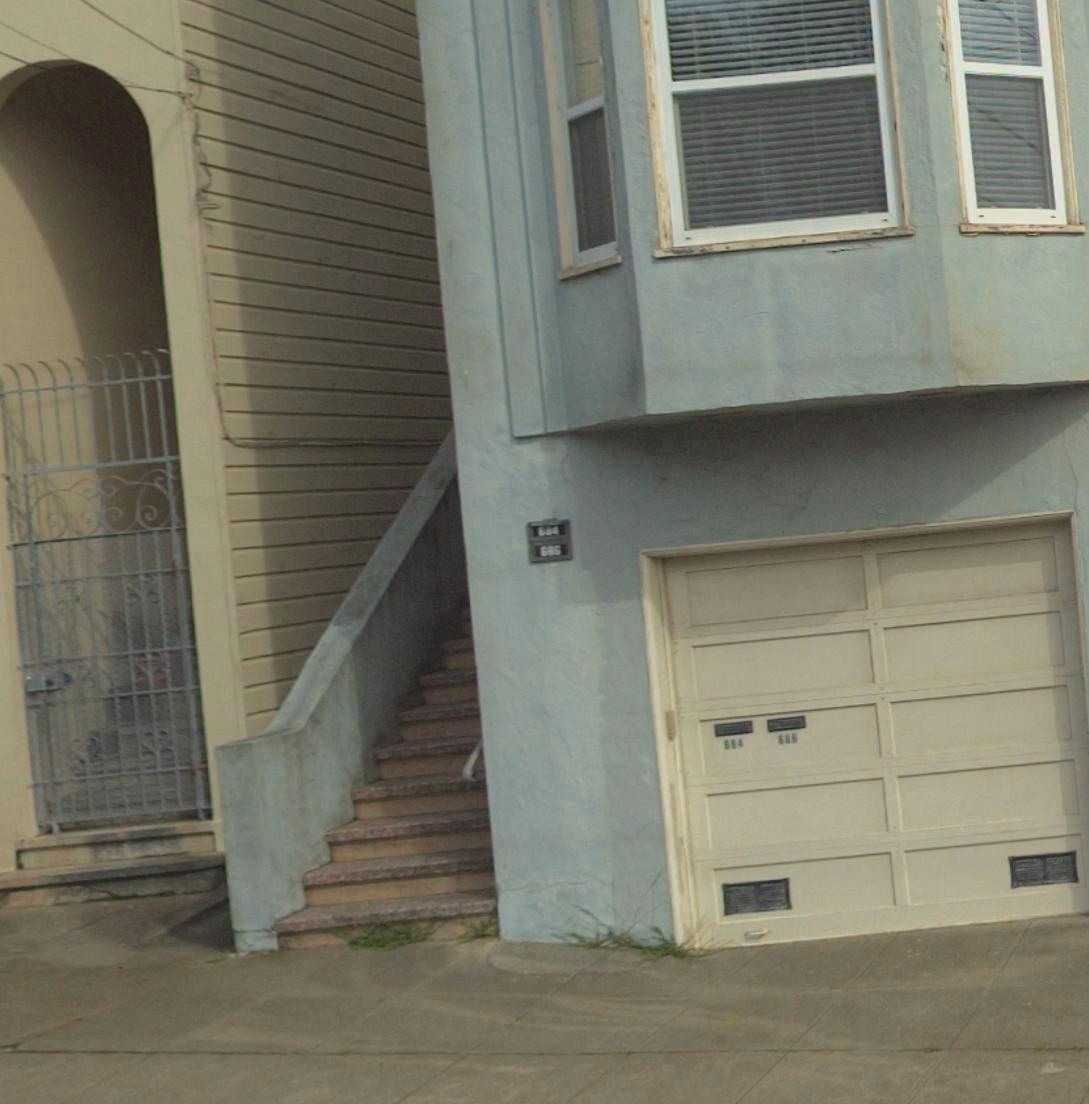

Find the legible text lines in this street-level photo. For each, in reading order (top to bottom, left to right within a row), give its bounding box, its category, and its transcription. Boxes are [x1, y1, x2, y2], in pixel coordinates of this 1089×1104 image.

[537, 524, 560, 537] StreetNumber: 684
[539, 543, 563, 558] StreetNumber: 69*